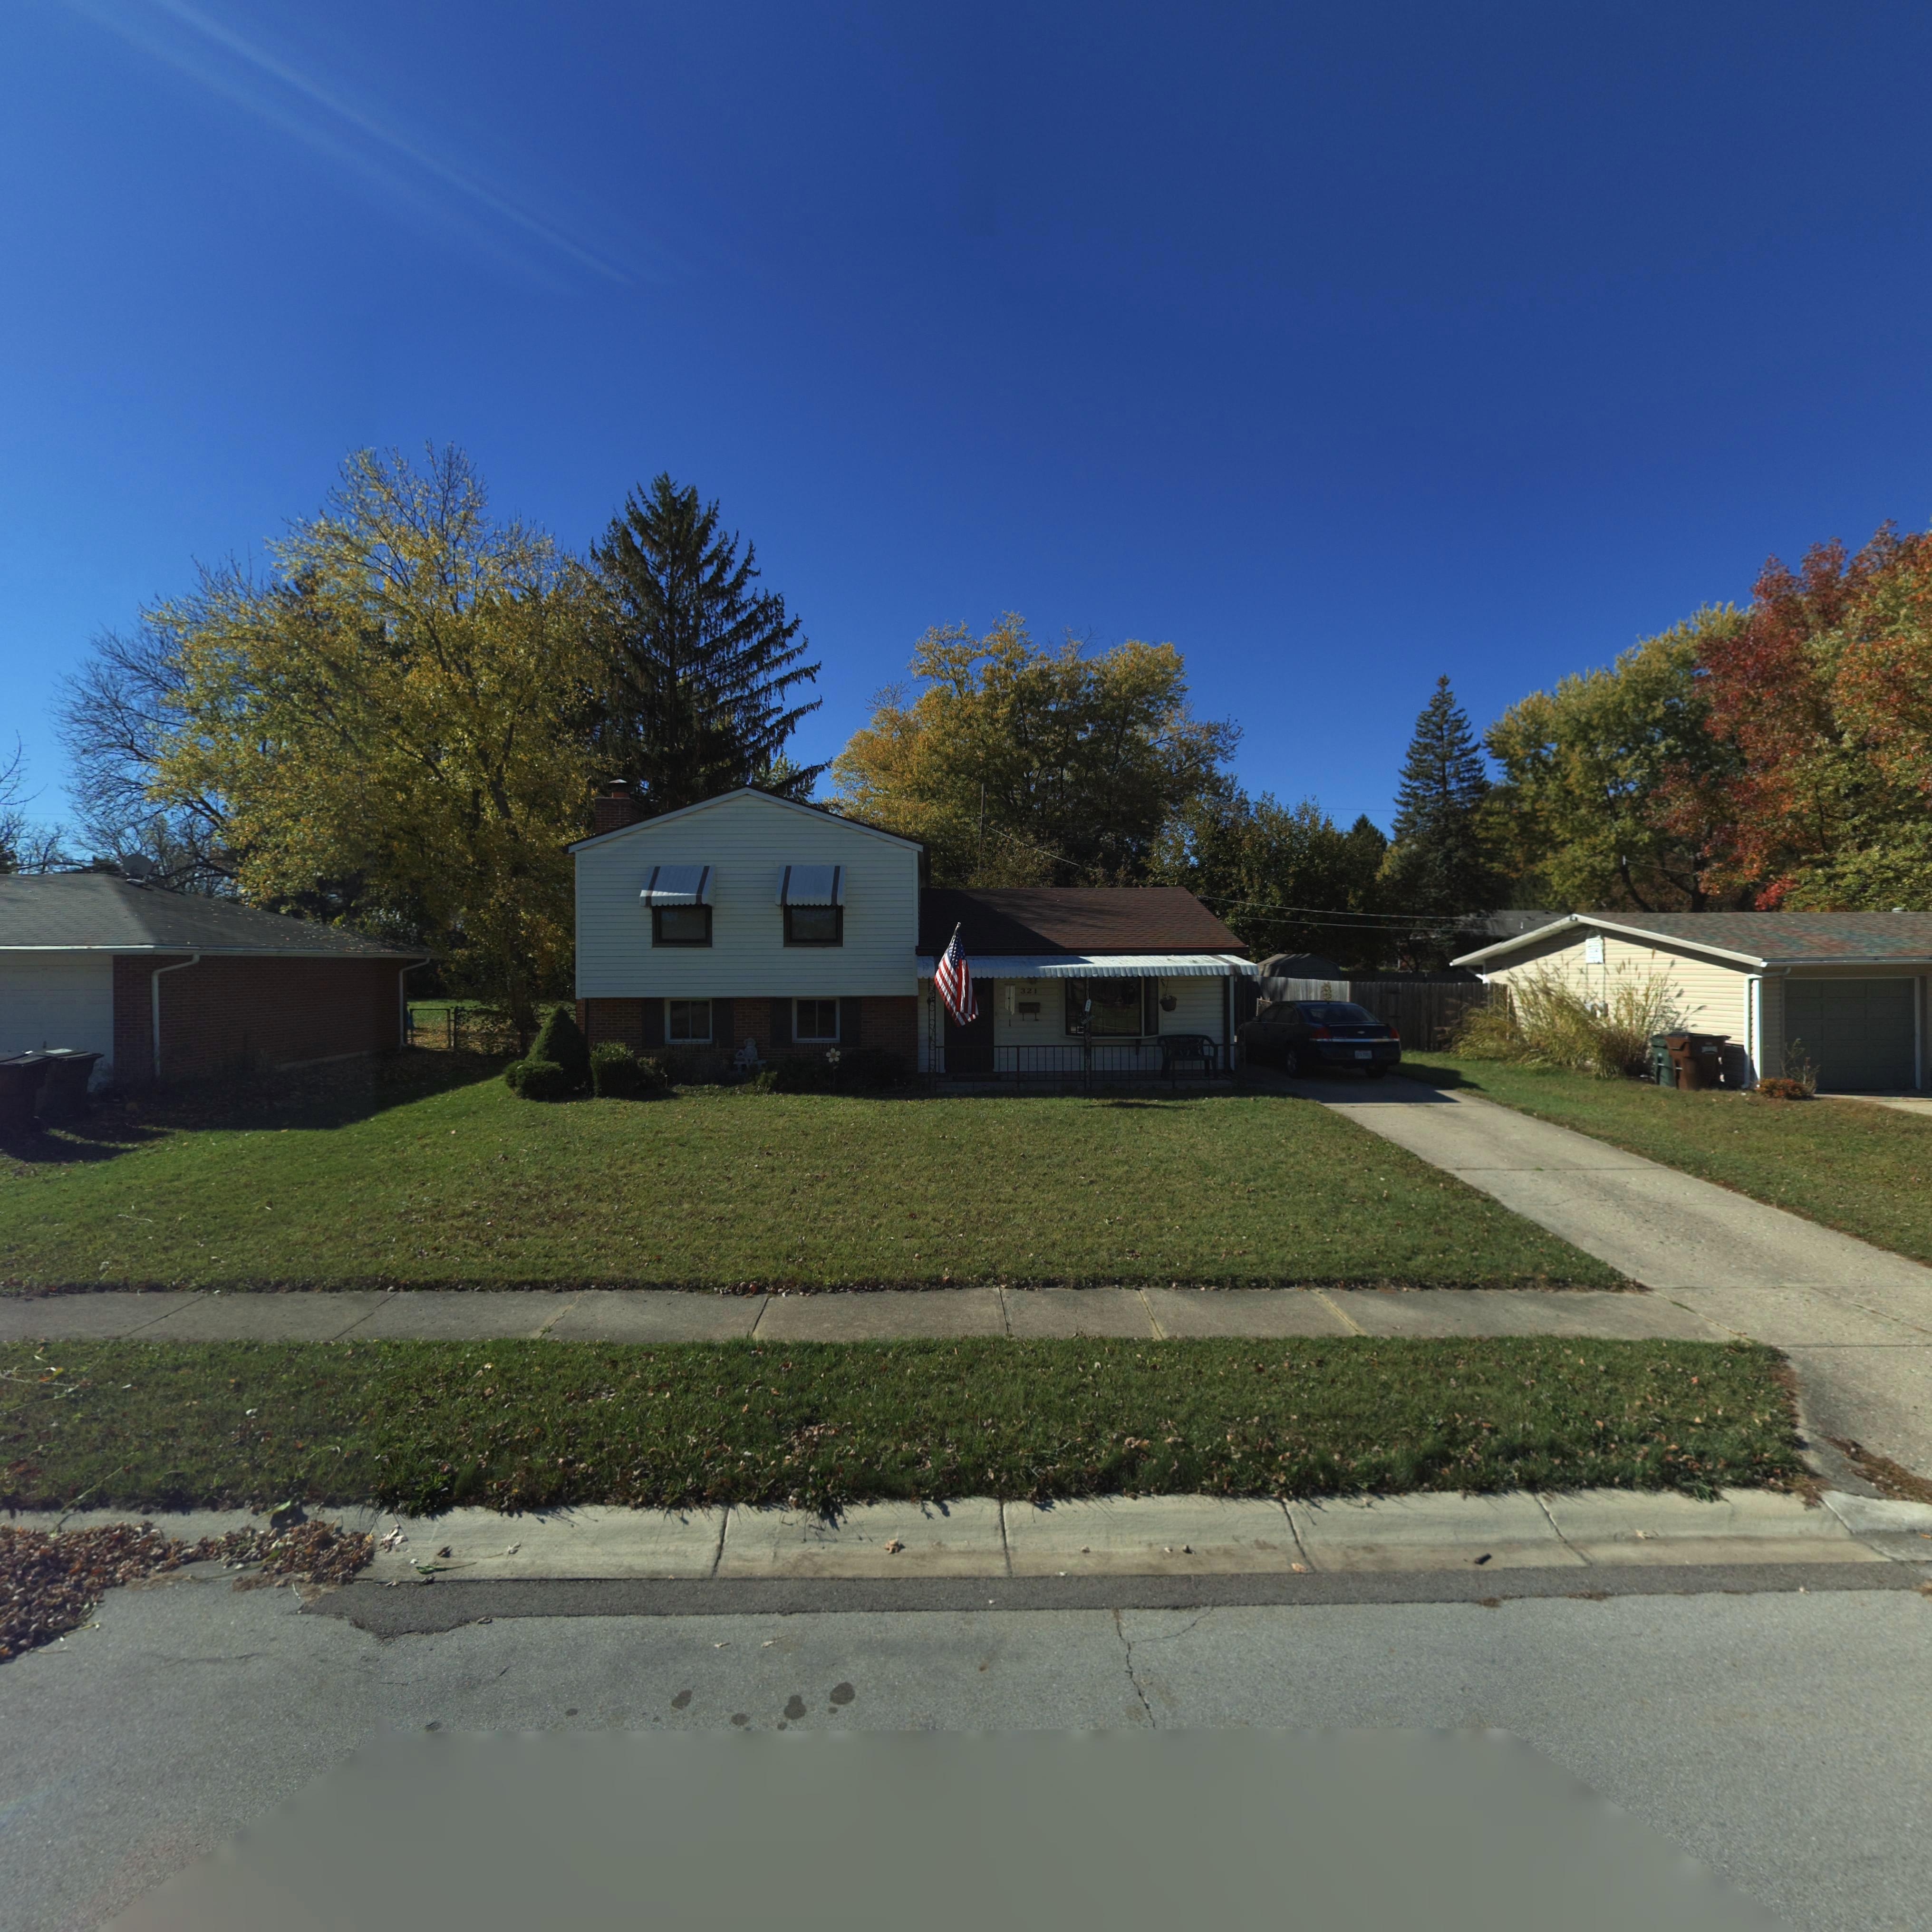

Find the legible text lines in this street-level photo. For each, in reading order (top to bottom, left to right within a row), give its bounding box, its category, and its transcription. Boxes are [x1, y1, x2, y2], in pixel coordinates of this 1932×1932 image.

[1020, 987, 1037, 995] StreetNumber: 321